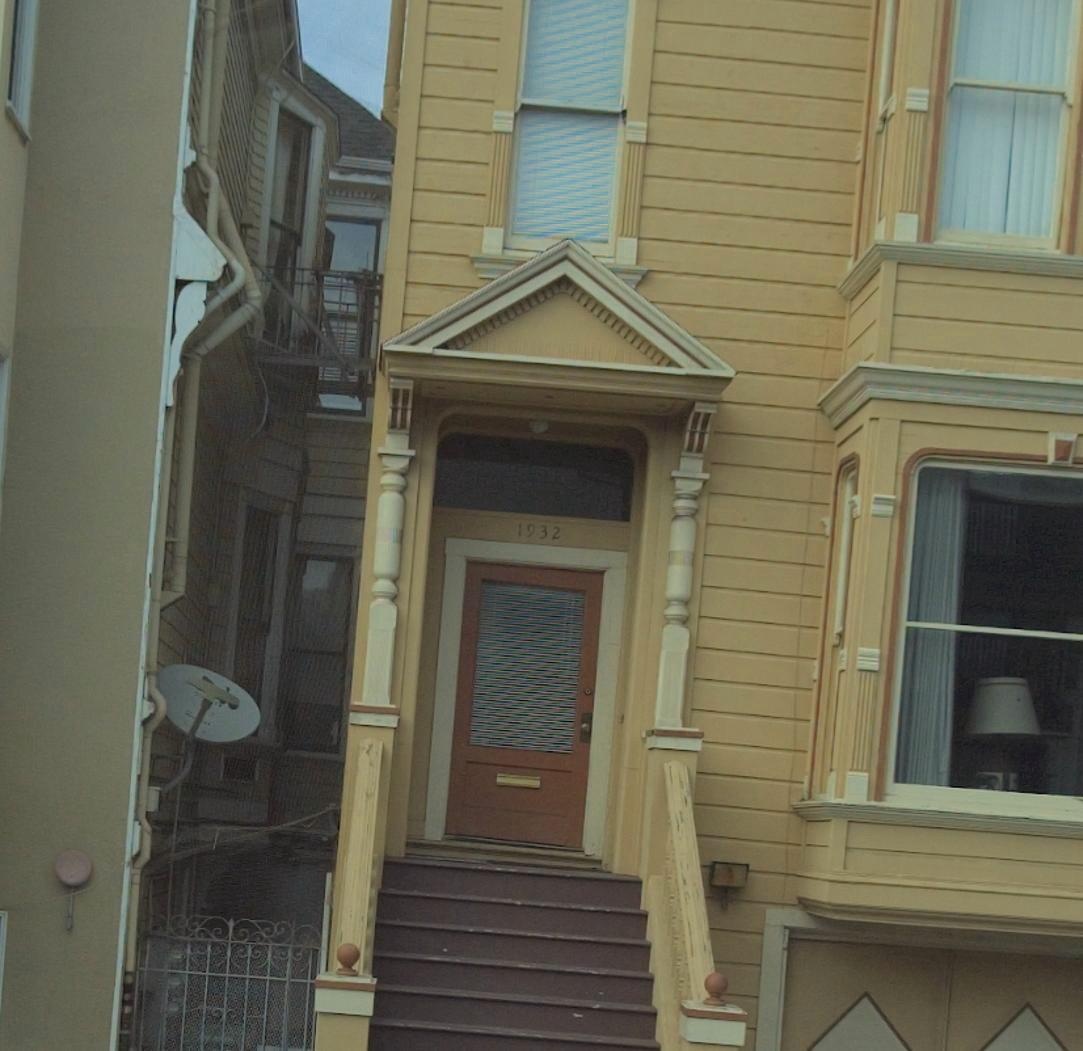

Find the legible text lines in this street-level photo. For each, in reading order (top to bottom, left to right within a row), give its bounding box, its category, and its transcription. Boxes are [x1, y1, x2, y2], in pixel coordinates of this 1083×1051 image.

[512, 519, 566, 545] StreetNumber: 1932